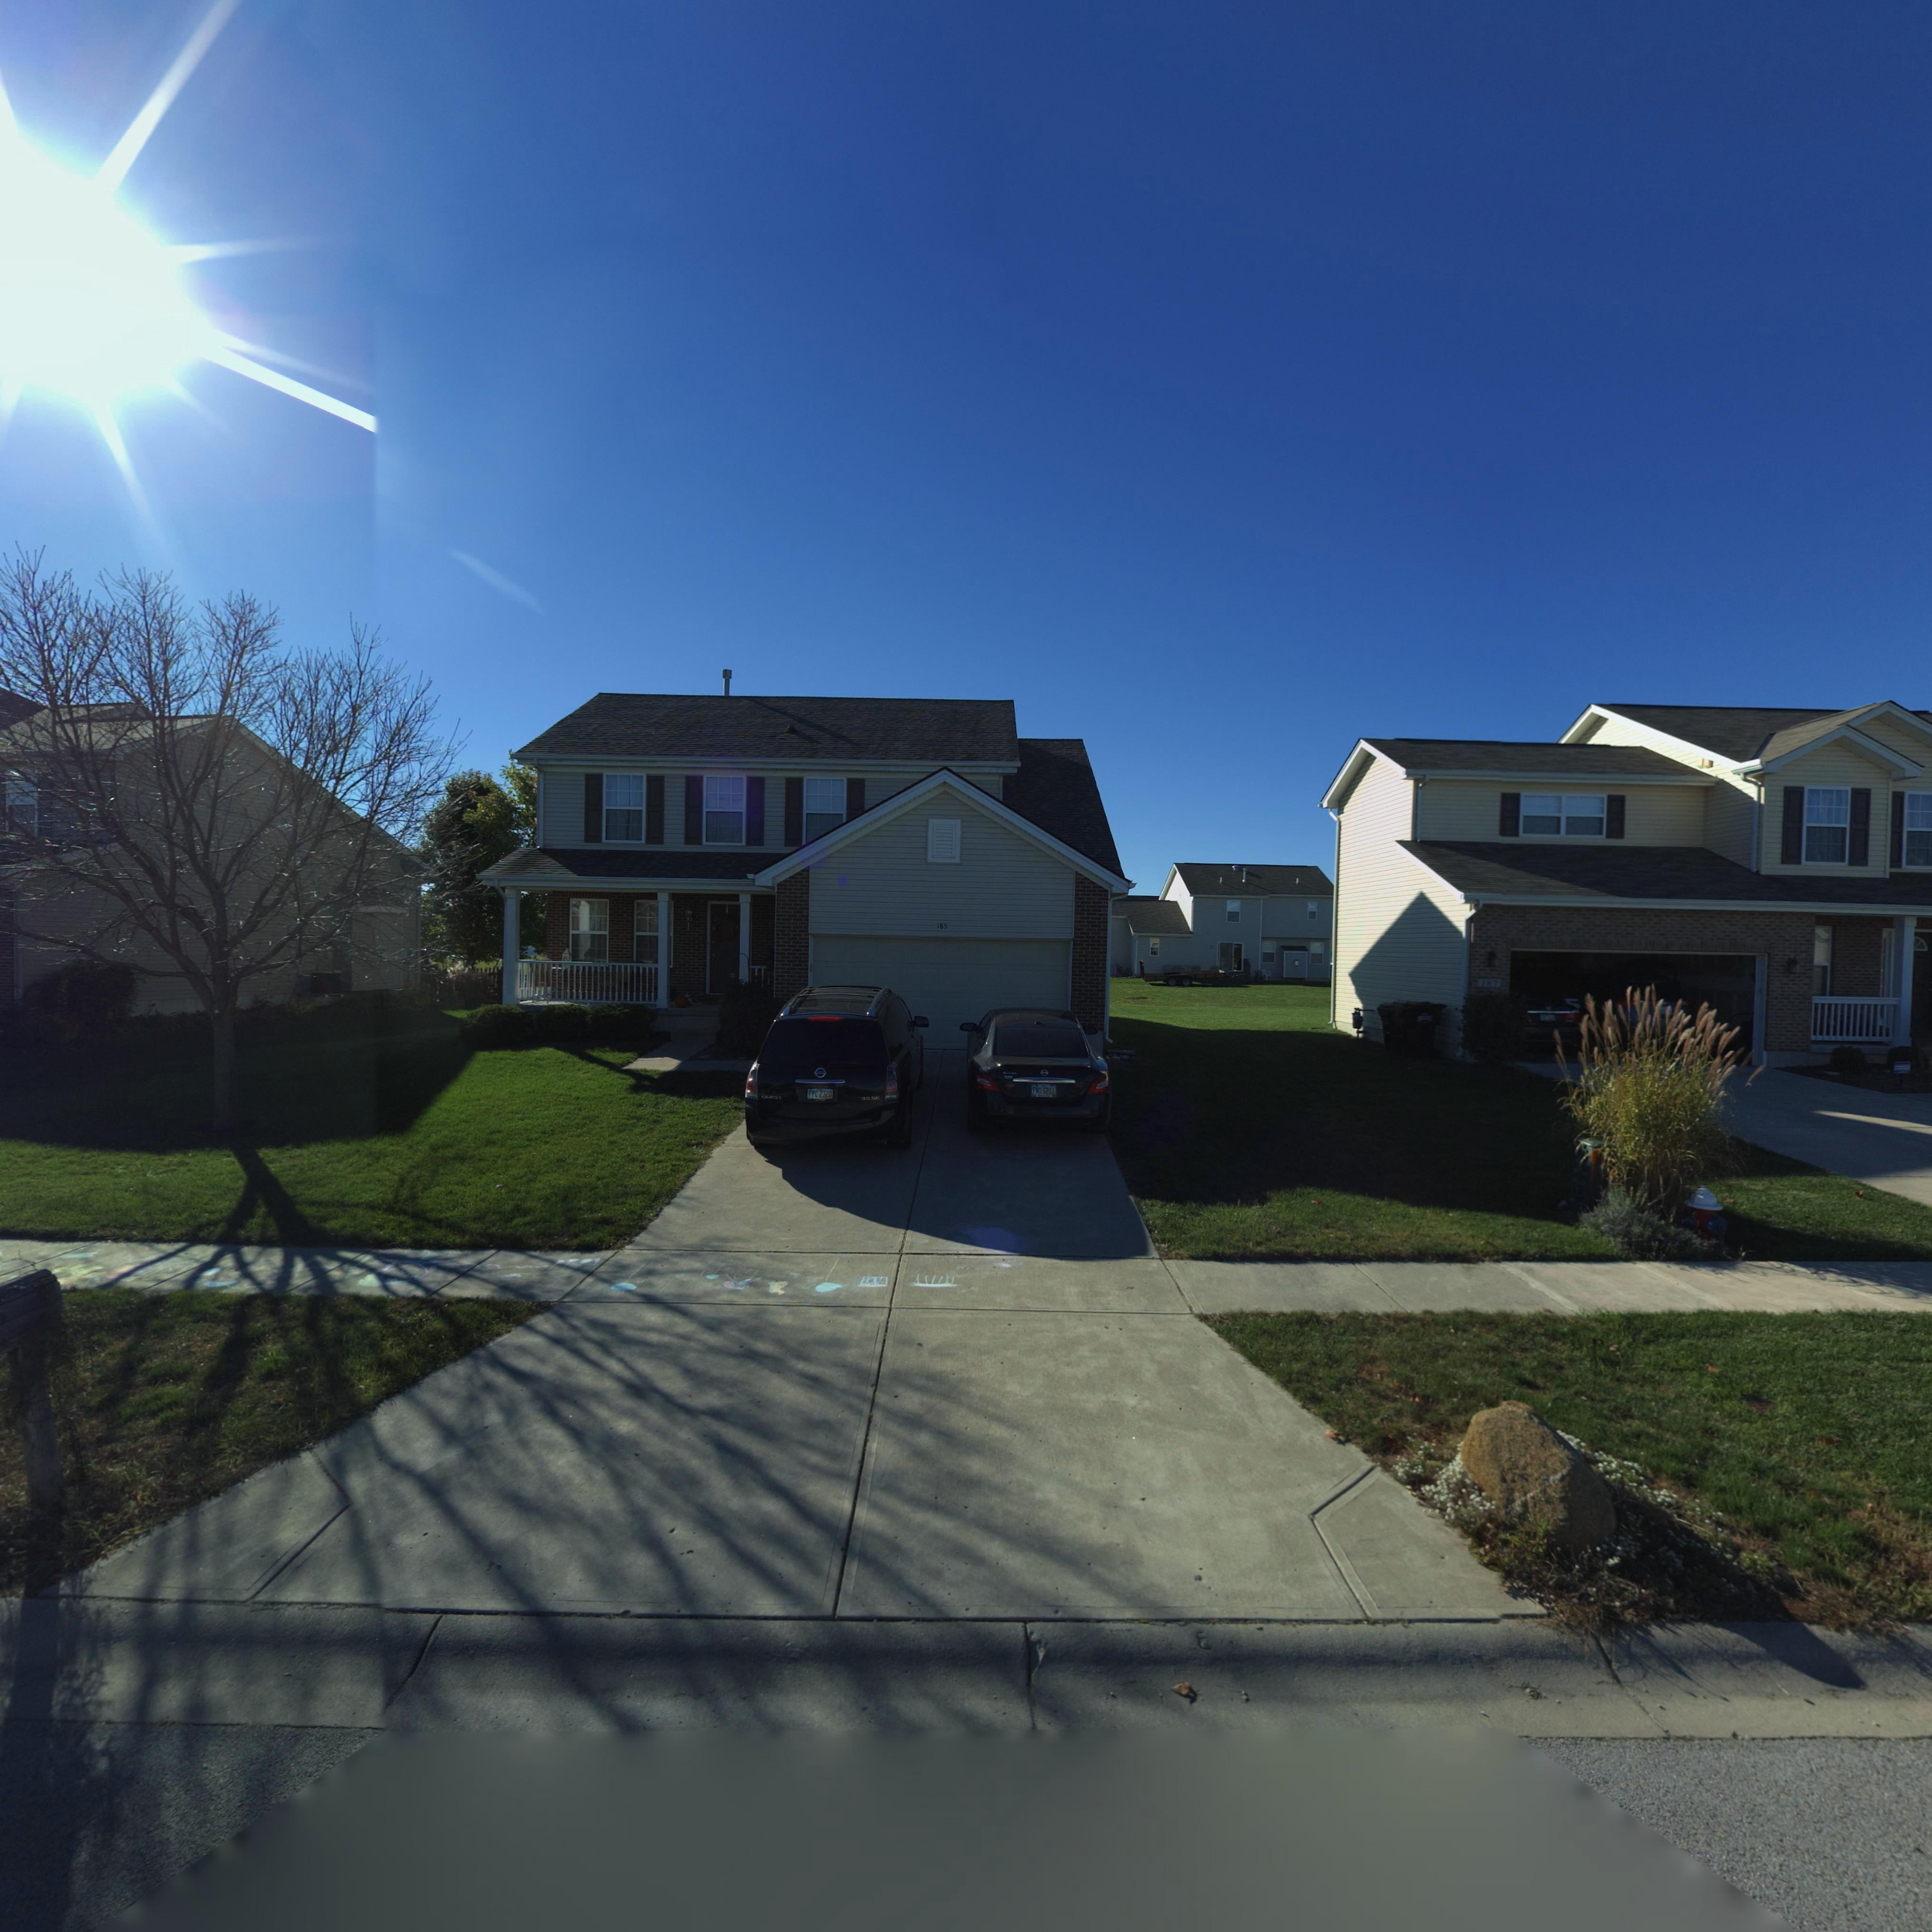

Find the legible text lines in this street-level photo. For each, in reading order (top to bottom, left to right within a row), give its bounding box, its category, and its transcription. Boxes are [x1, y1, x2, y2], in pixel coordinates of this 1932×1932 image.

[936, 921, 947, 929] StreetNumber: 185
[1479, 979, 1498, 986] StreetNumber: 187